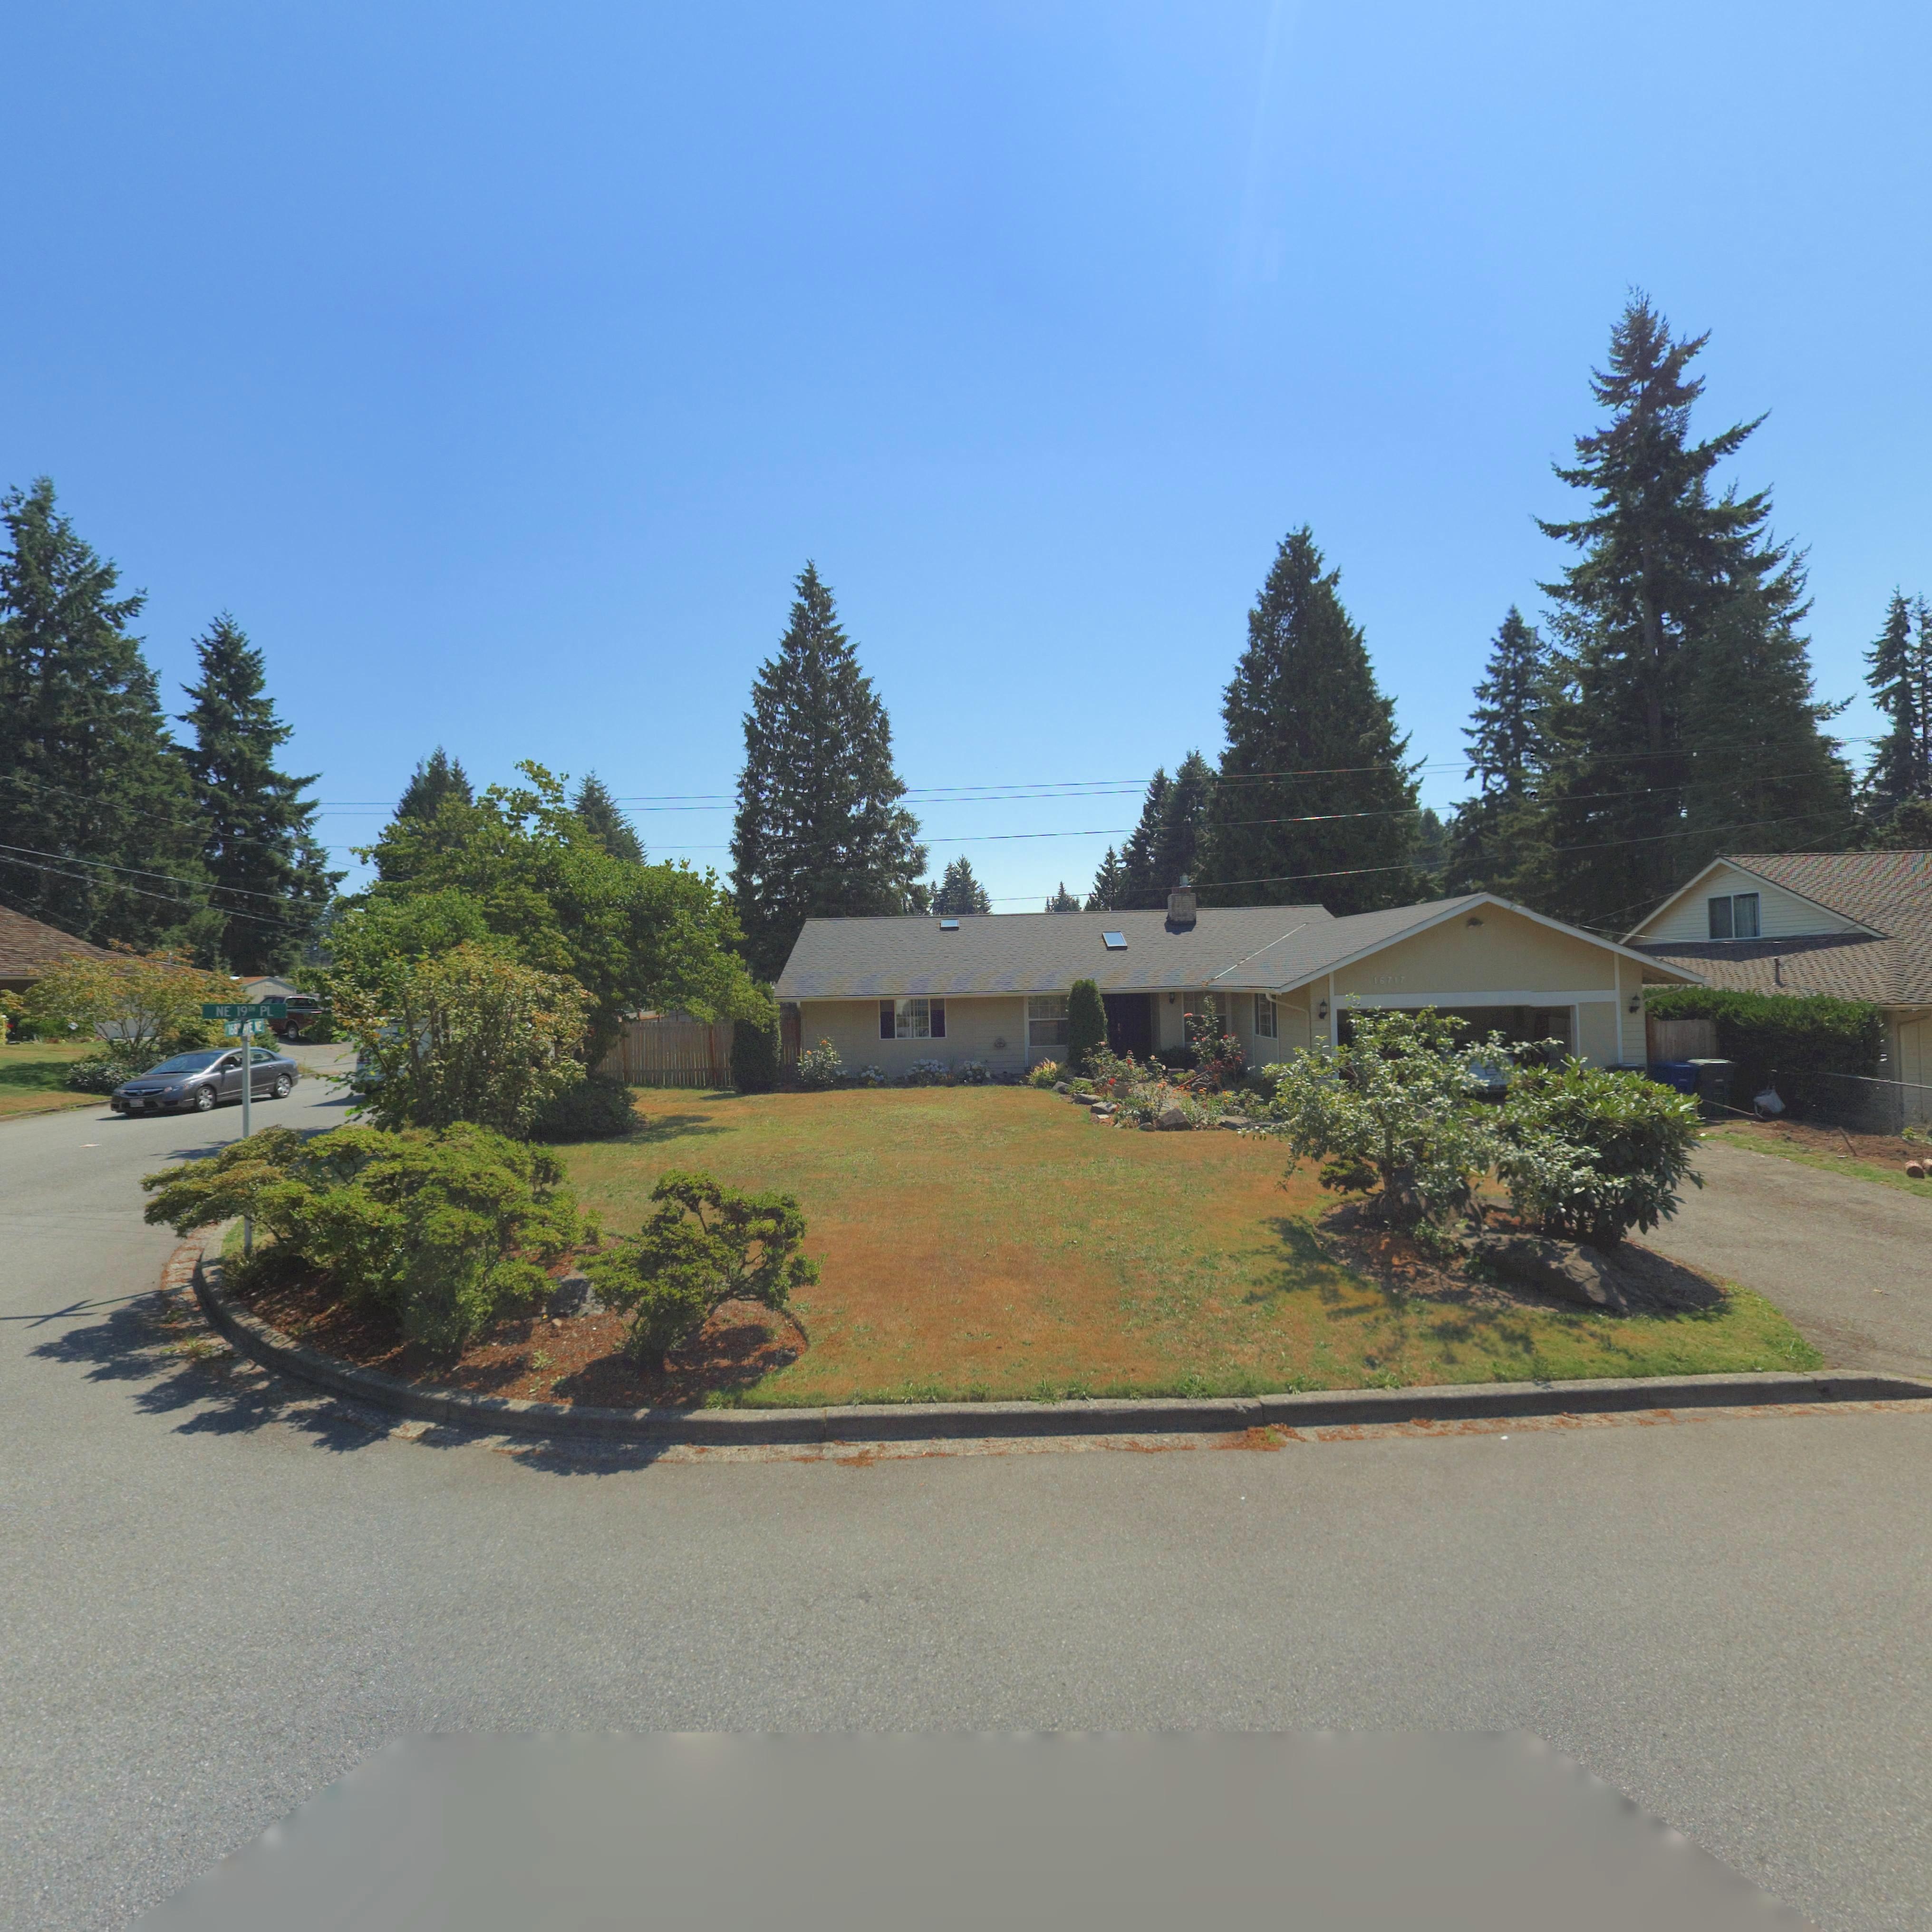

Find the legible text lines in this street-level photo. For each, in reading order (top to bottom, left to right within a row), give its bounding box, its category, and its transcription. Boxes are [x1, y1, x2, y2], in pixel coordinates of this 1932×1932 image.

[215, 1005, 275, 1018] StreetName: NE 19th PL
[225, 1020, 263, 1037] StreetName: 168th AVE NE